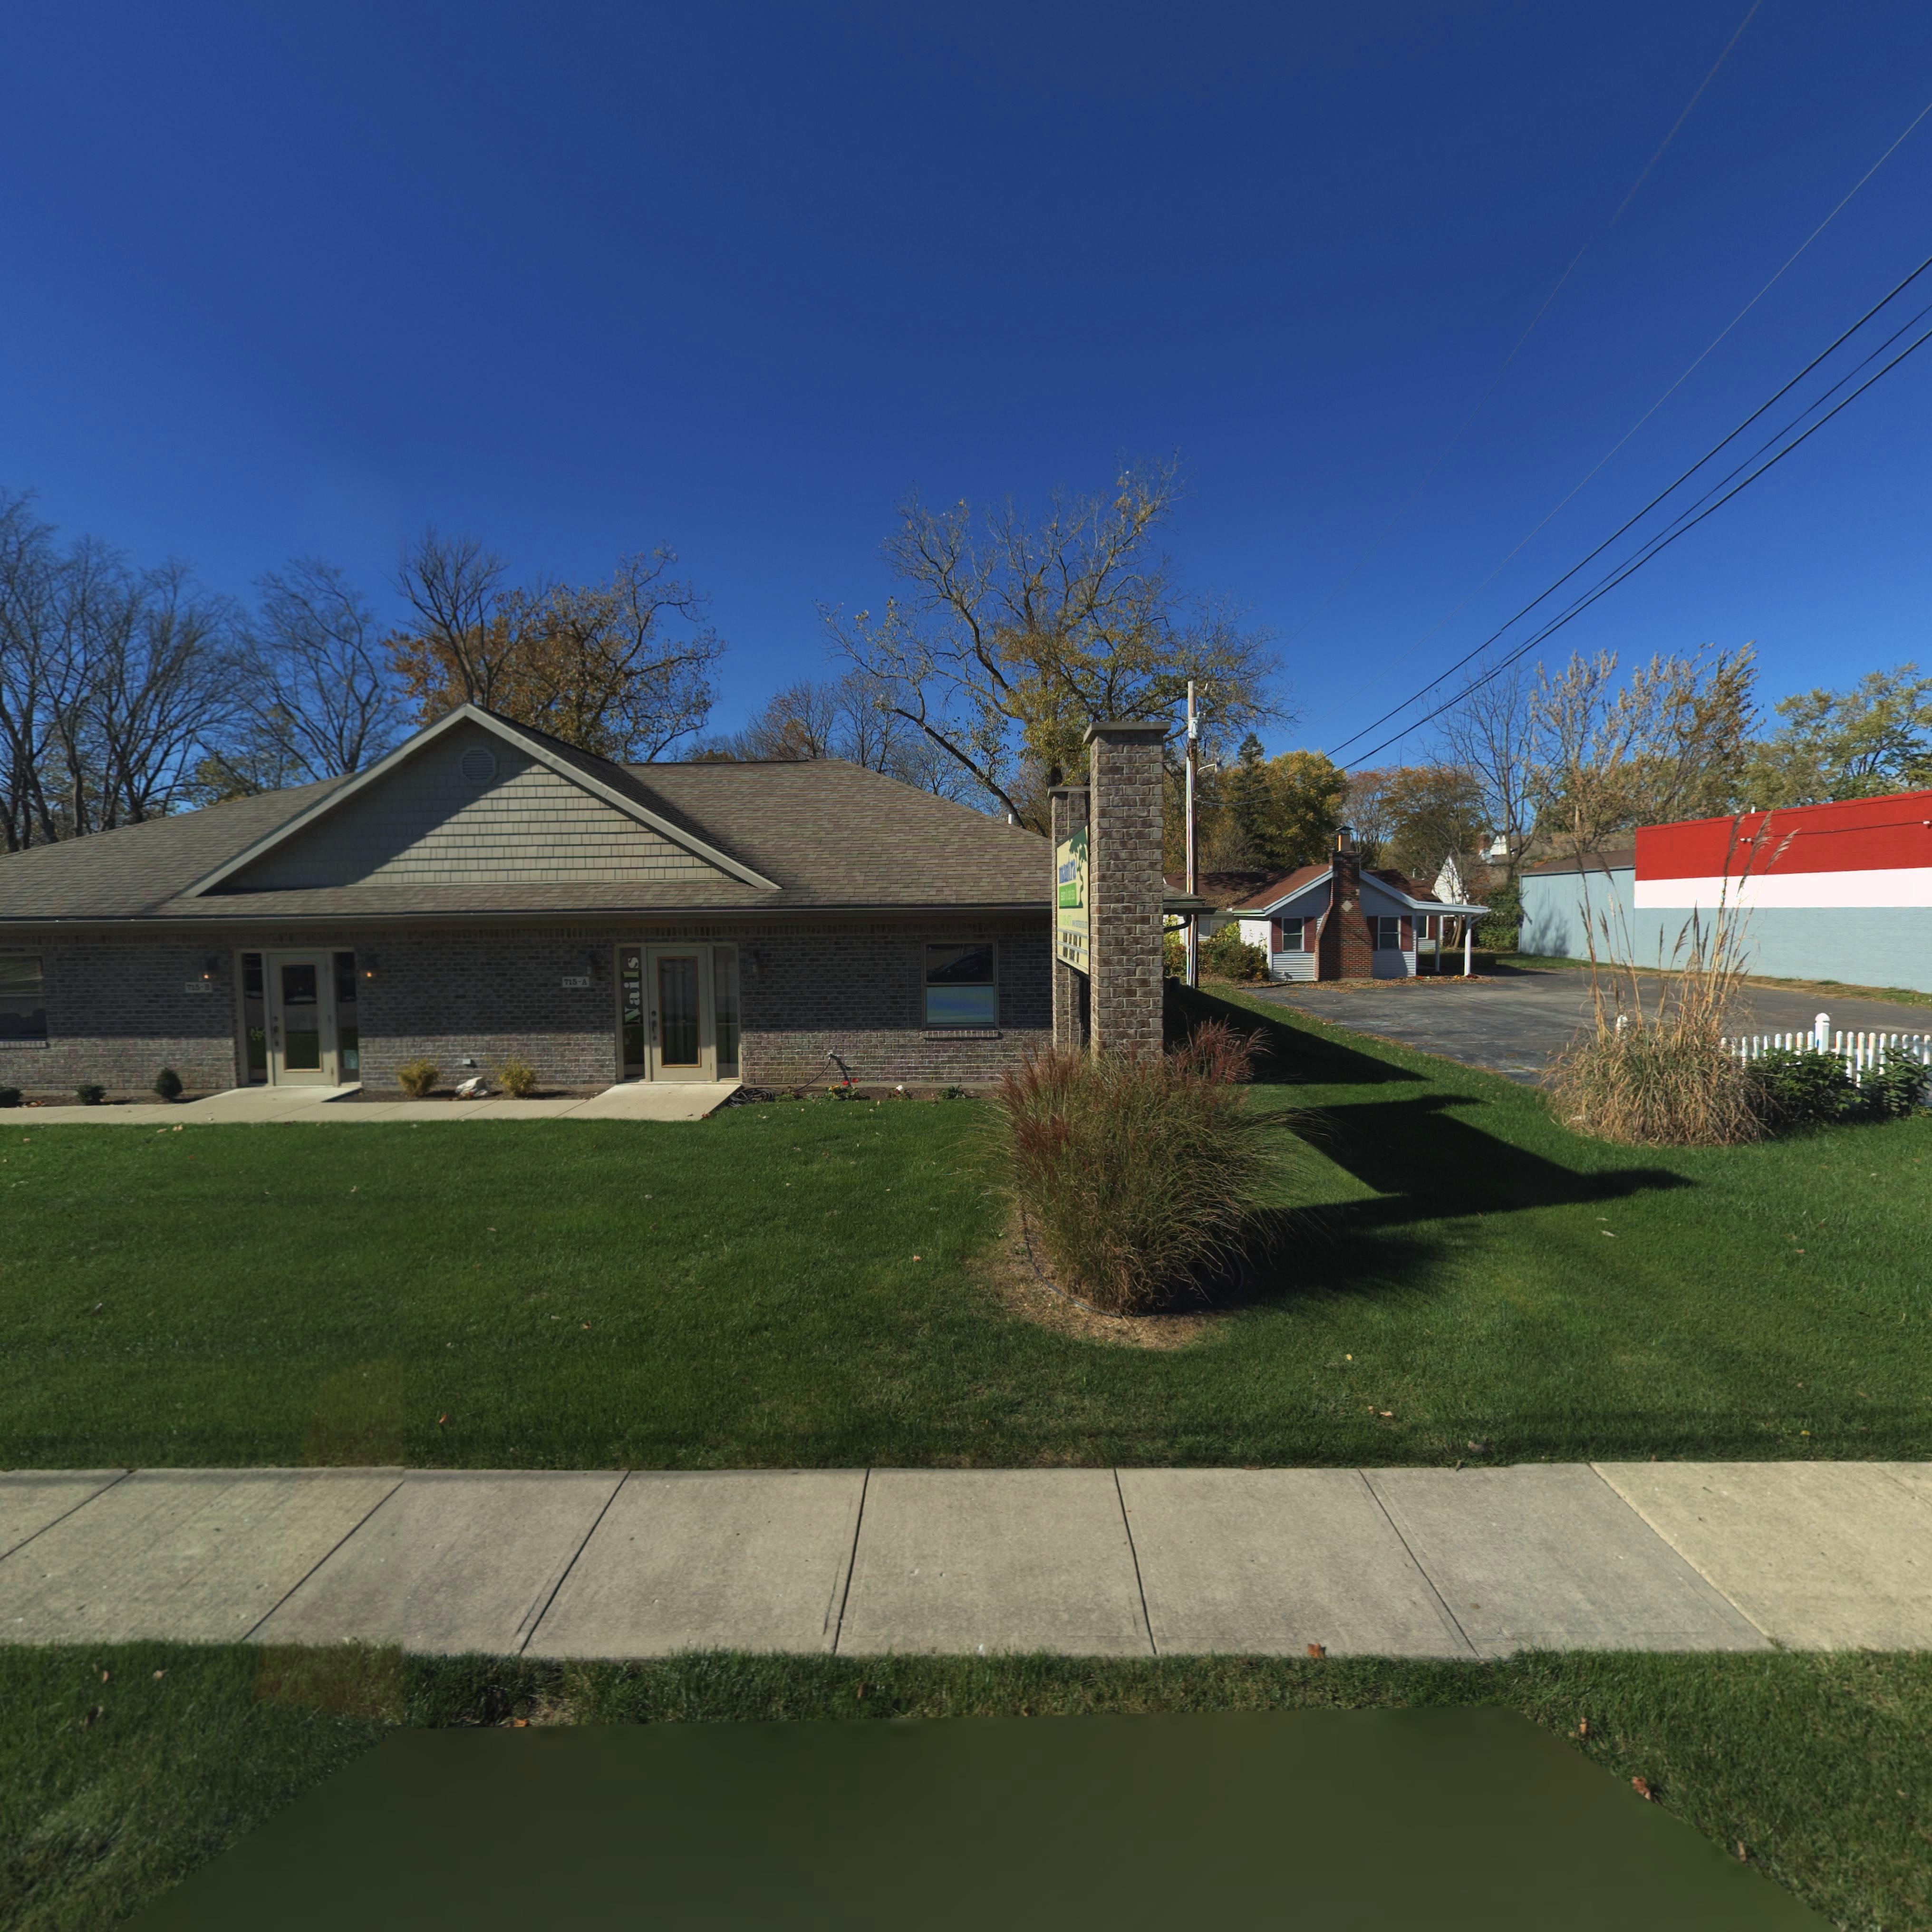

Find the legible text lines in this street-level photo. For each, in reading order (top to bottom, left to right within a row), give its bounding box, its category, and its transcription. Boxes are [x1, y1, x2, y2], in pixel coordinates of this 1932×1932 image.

[562, 977, 589, 986] StreetNumber: 715-A
[185, 982, 212, 992] StreetNumber: 715-*